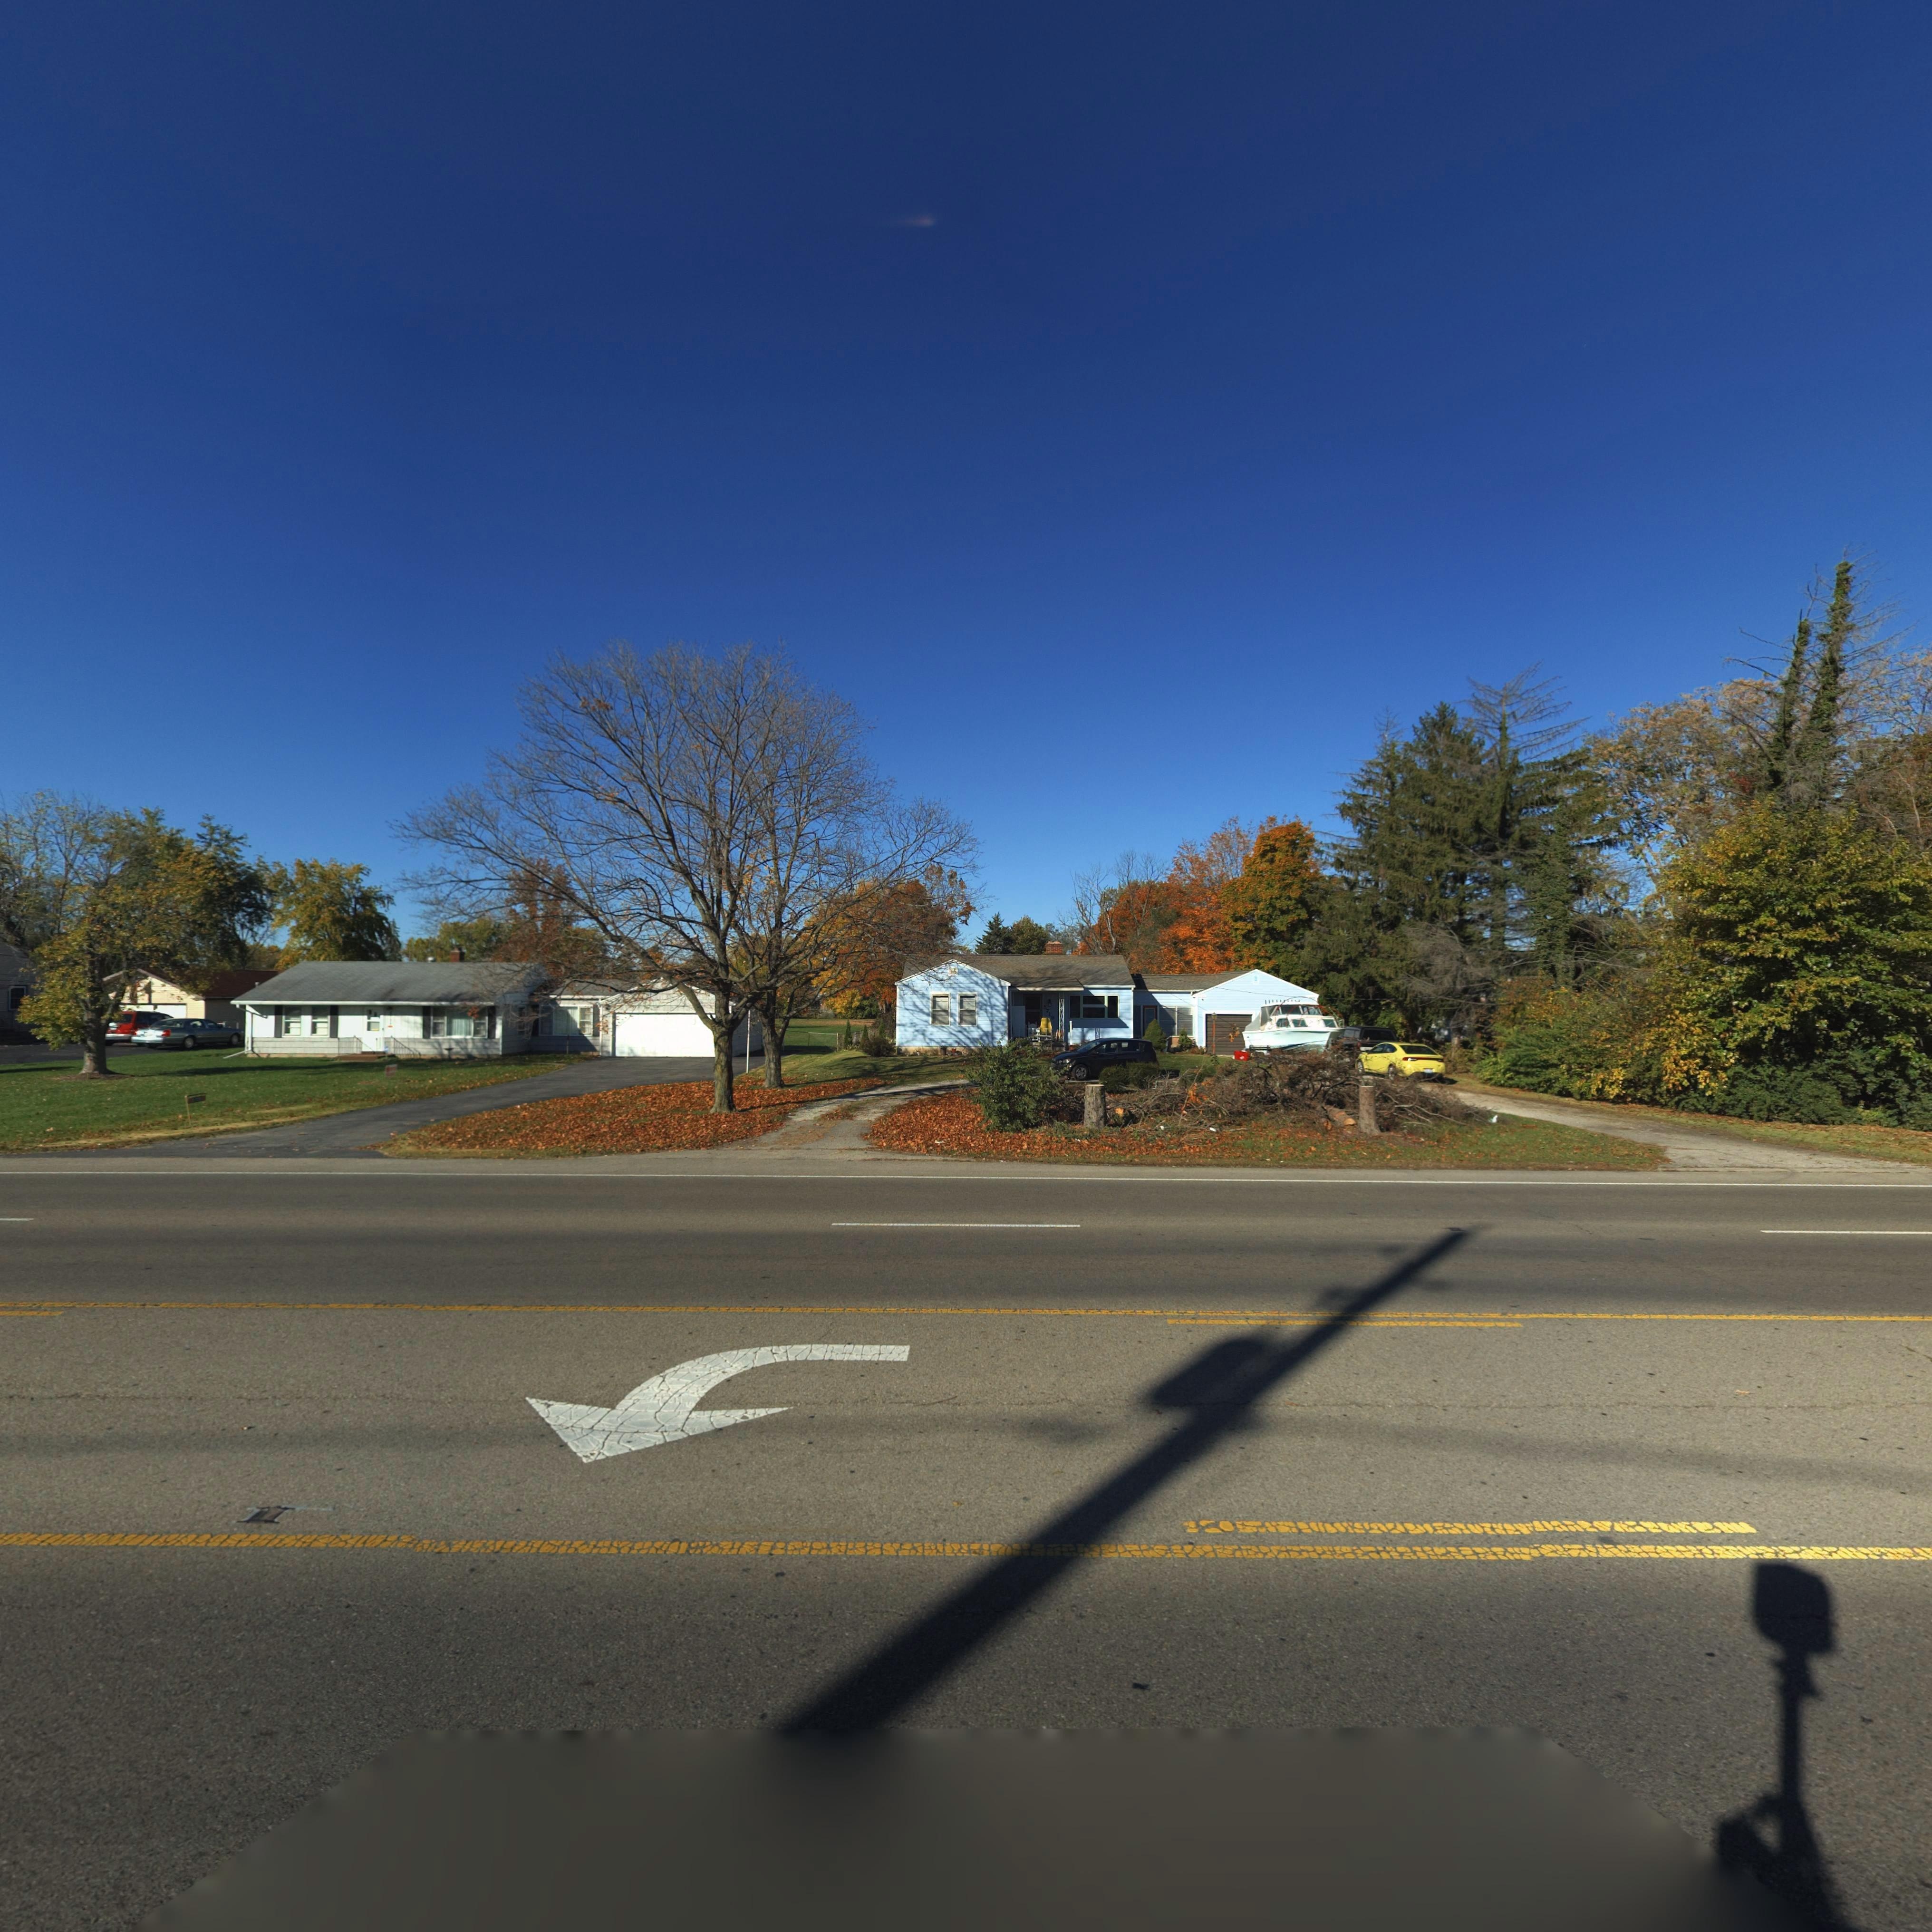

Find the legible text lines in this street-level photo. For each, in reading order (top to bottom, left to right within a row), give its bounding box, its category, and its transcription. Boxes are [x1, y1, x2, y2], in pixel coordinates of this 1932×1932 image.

[1043, 1005, 1054, 1020] StreetNumber: 5719